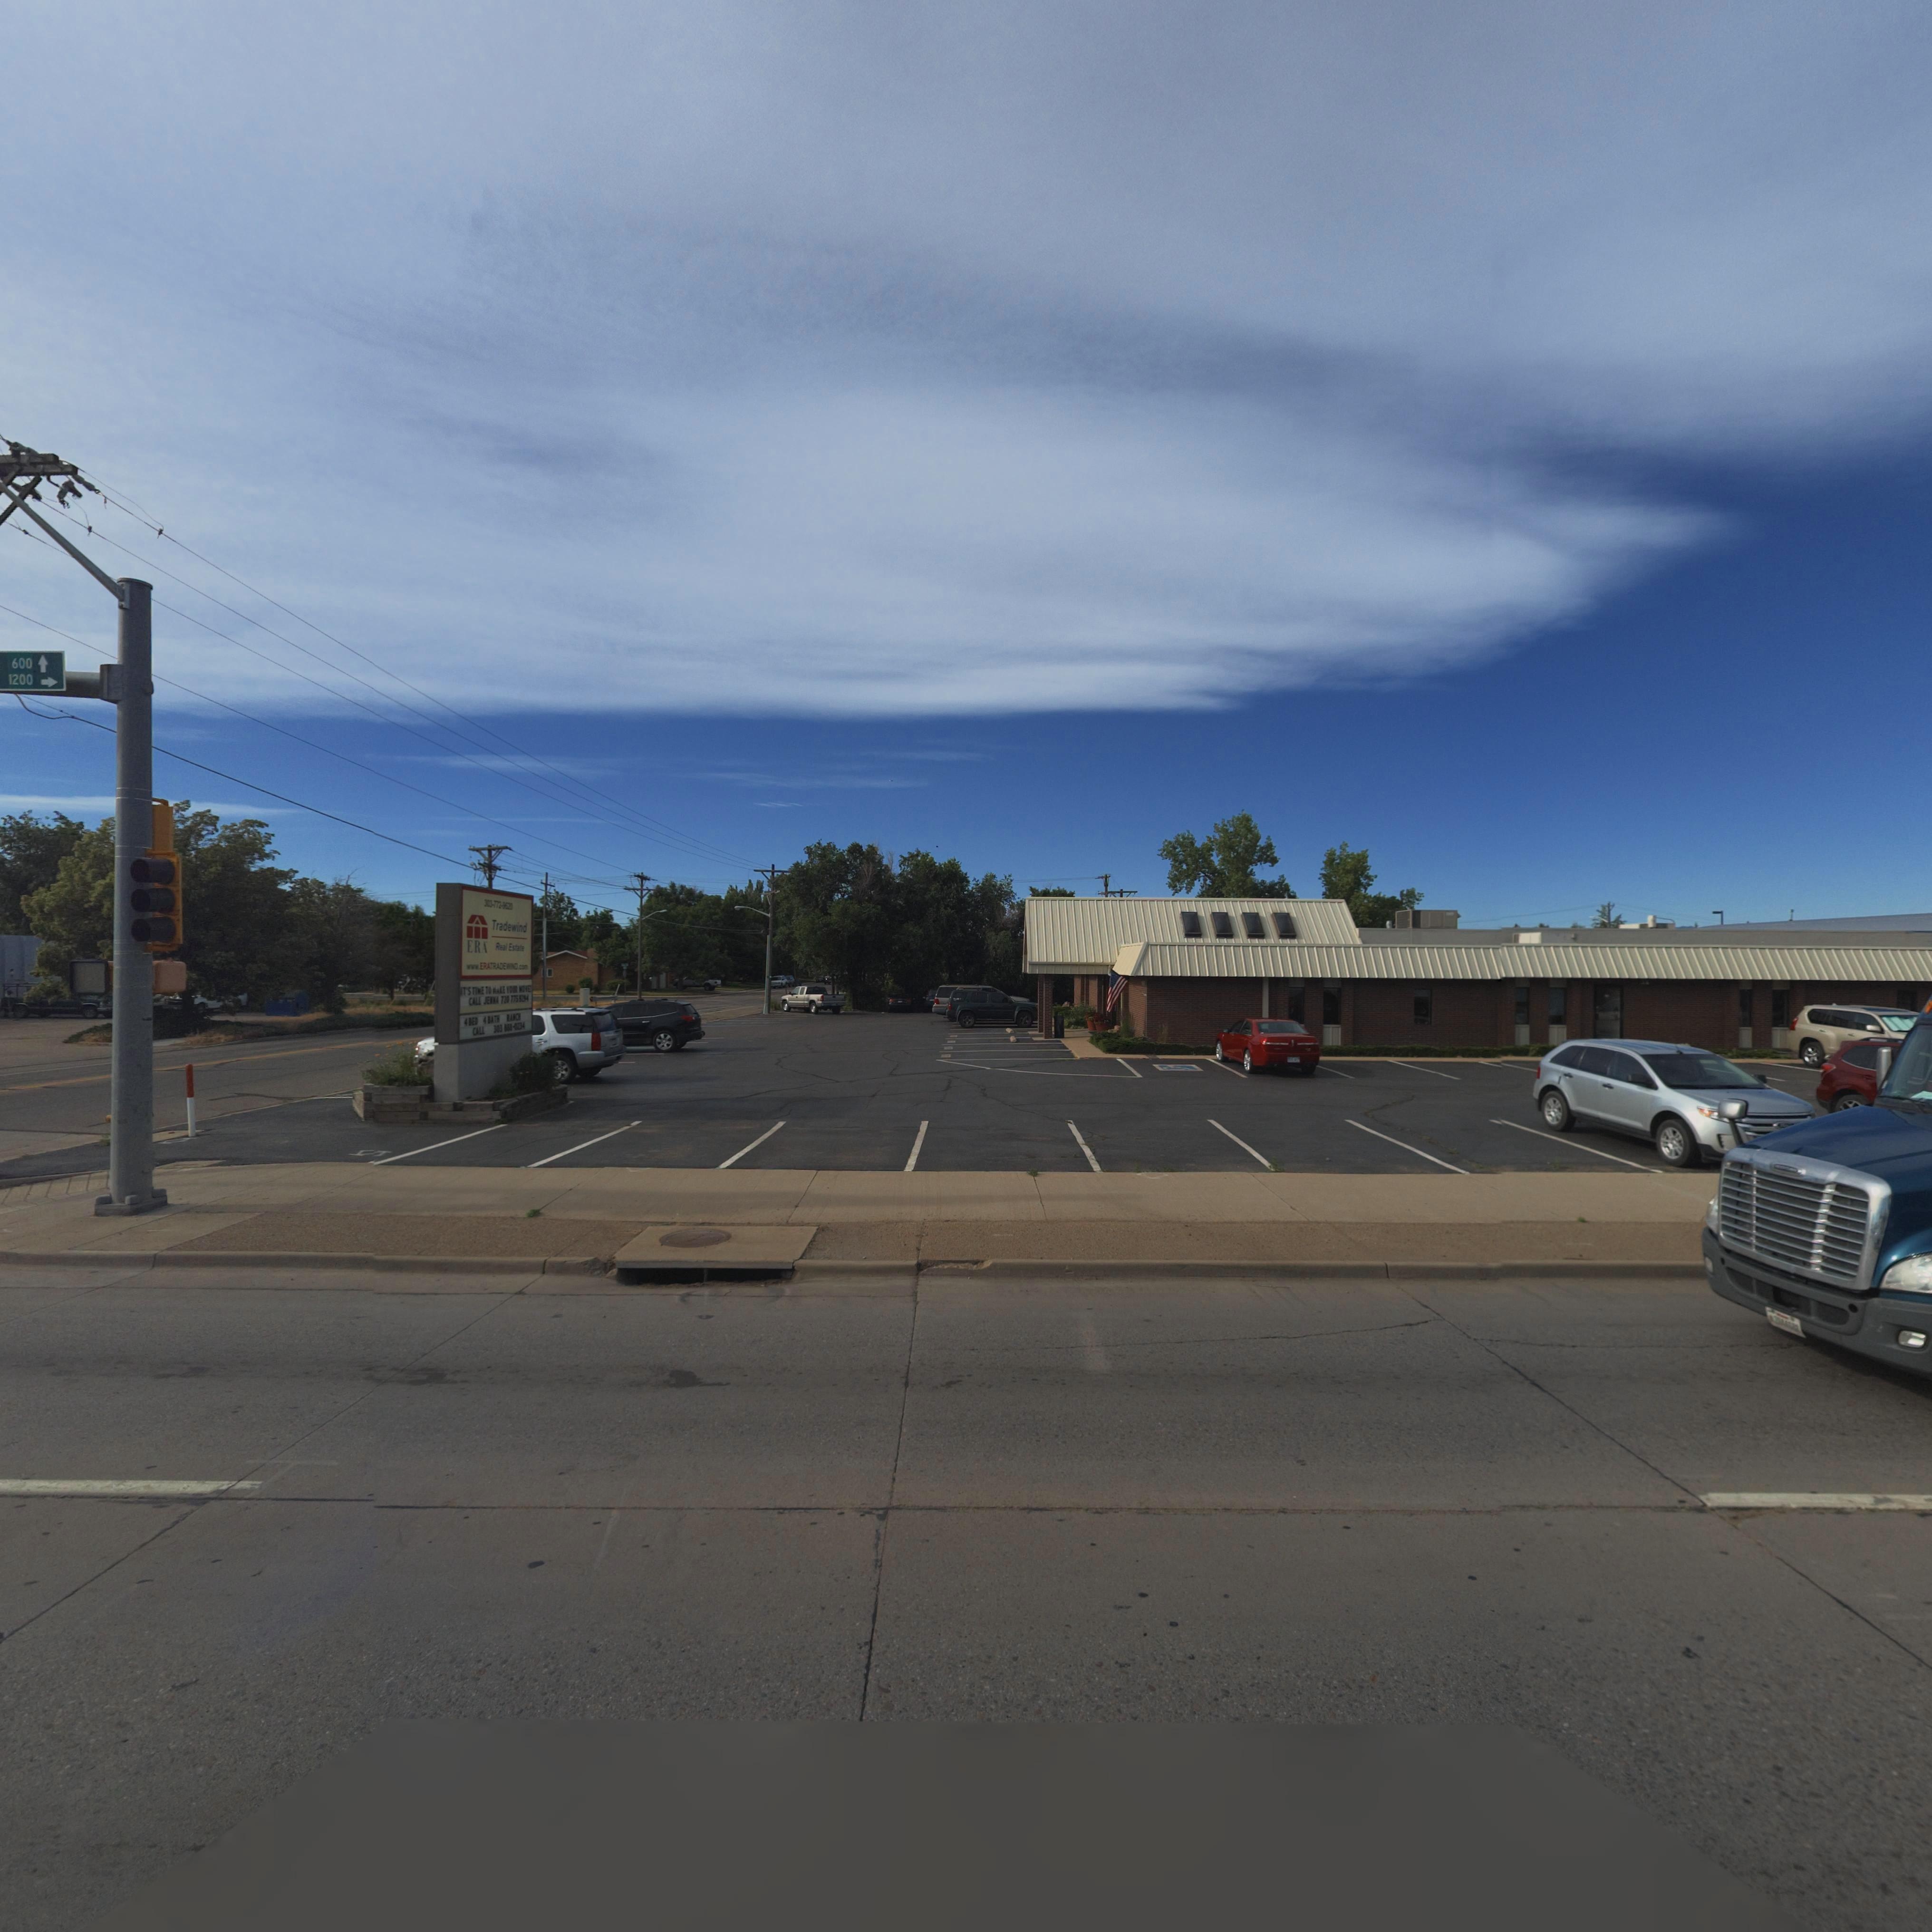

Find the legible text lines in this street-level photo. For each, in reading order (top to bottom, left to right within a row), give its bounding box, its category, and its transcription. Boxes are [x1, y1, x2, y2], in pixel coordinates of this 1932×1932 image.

[11, 657, 32, 669] StreetNumber: 600
[8, 674, 59, 688] StreetNumberRange: 1200->
[491, 919, 528, 933] BusinessName: Tradewind
[467, 939, 488, 954] BusinessName: ERA
[494, 942, 524, 952] BusinessName: Real Estate